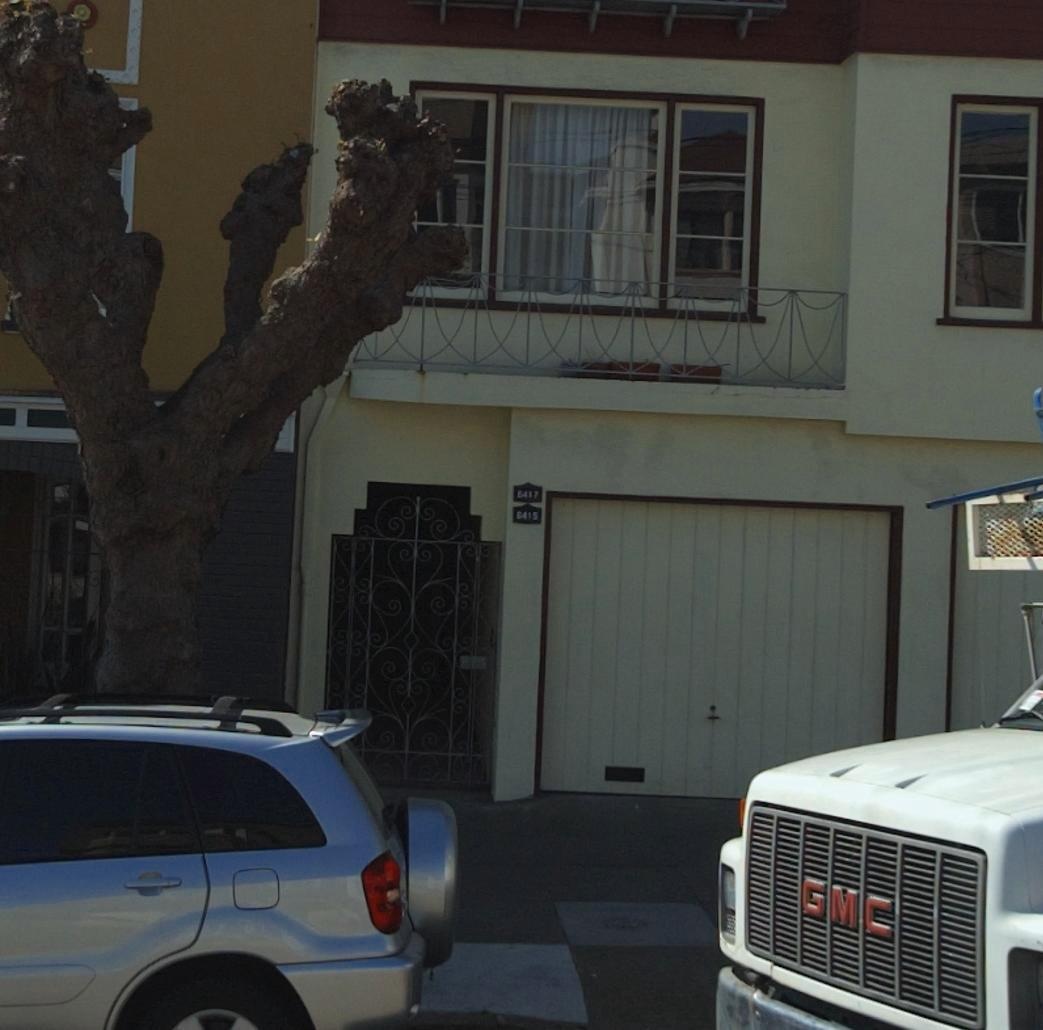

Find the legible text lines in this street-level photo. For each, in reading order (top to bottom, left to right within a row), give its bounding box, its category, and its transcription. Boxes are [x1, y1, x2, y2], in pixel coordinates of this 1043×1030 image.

[515, 487, 539, 500] StreetNumber: 6417
[515, 510, 540, 523] StreetNumber: 6415
[799, 871, 896, 942] BusinessName: GMC